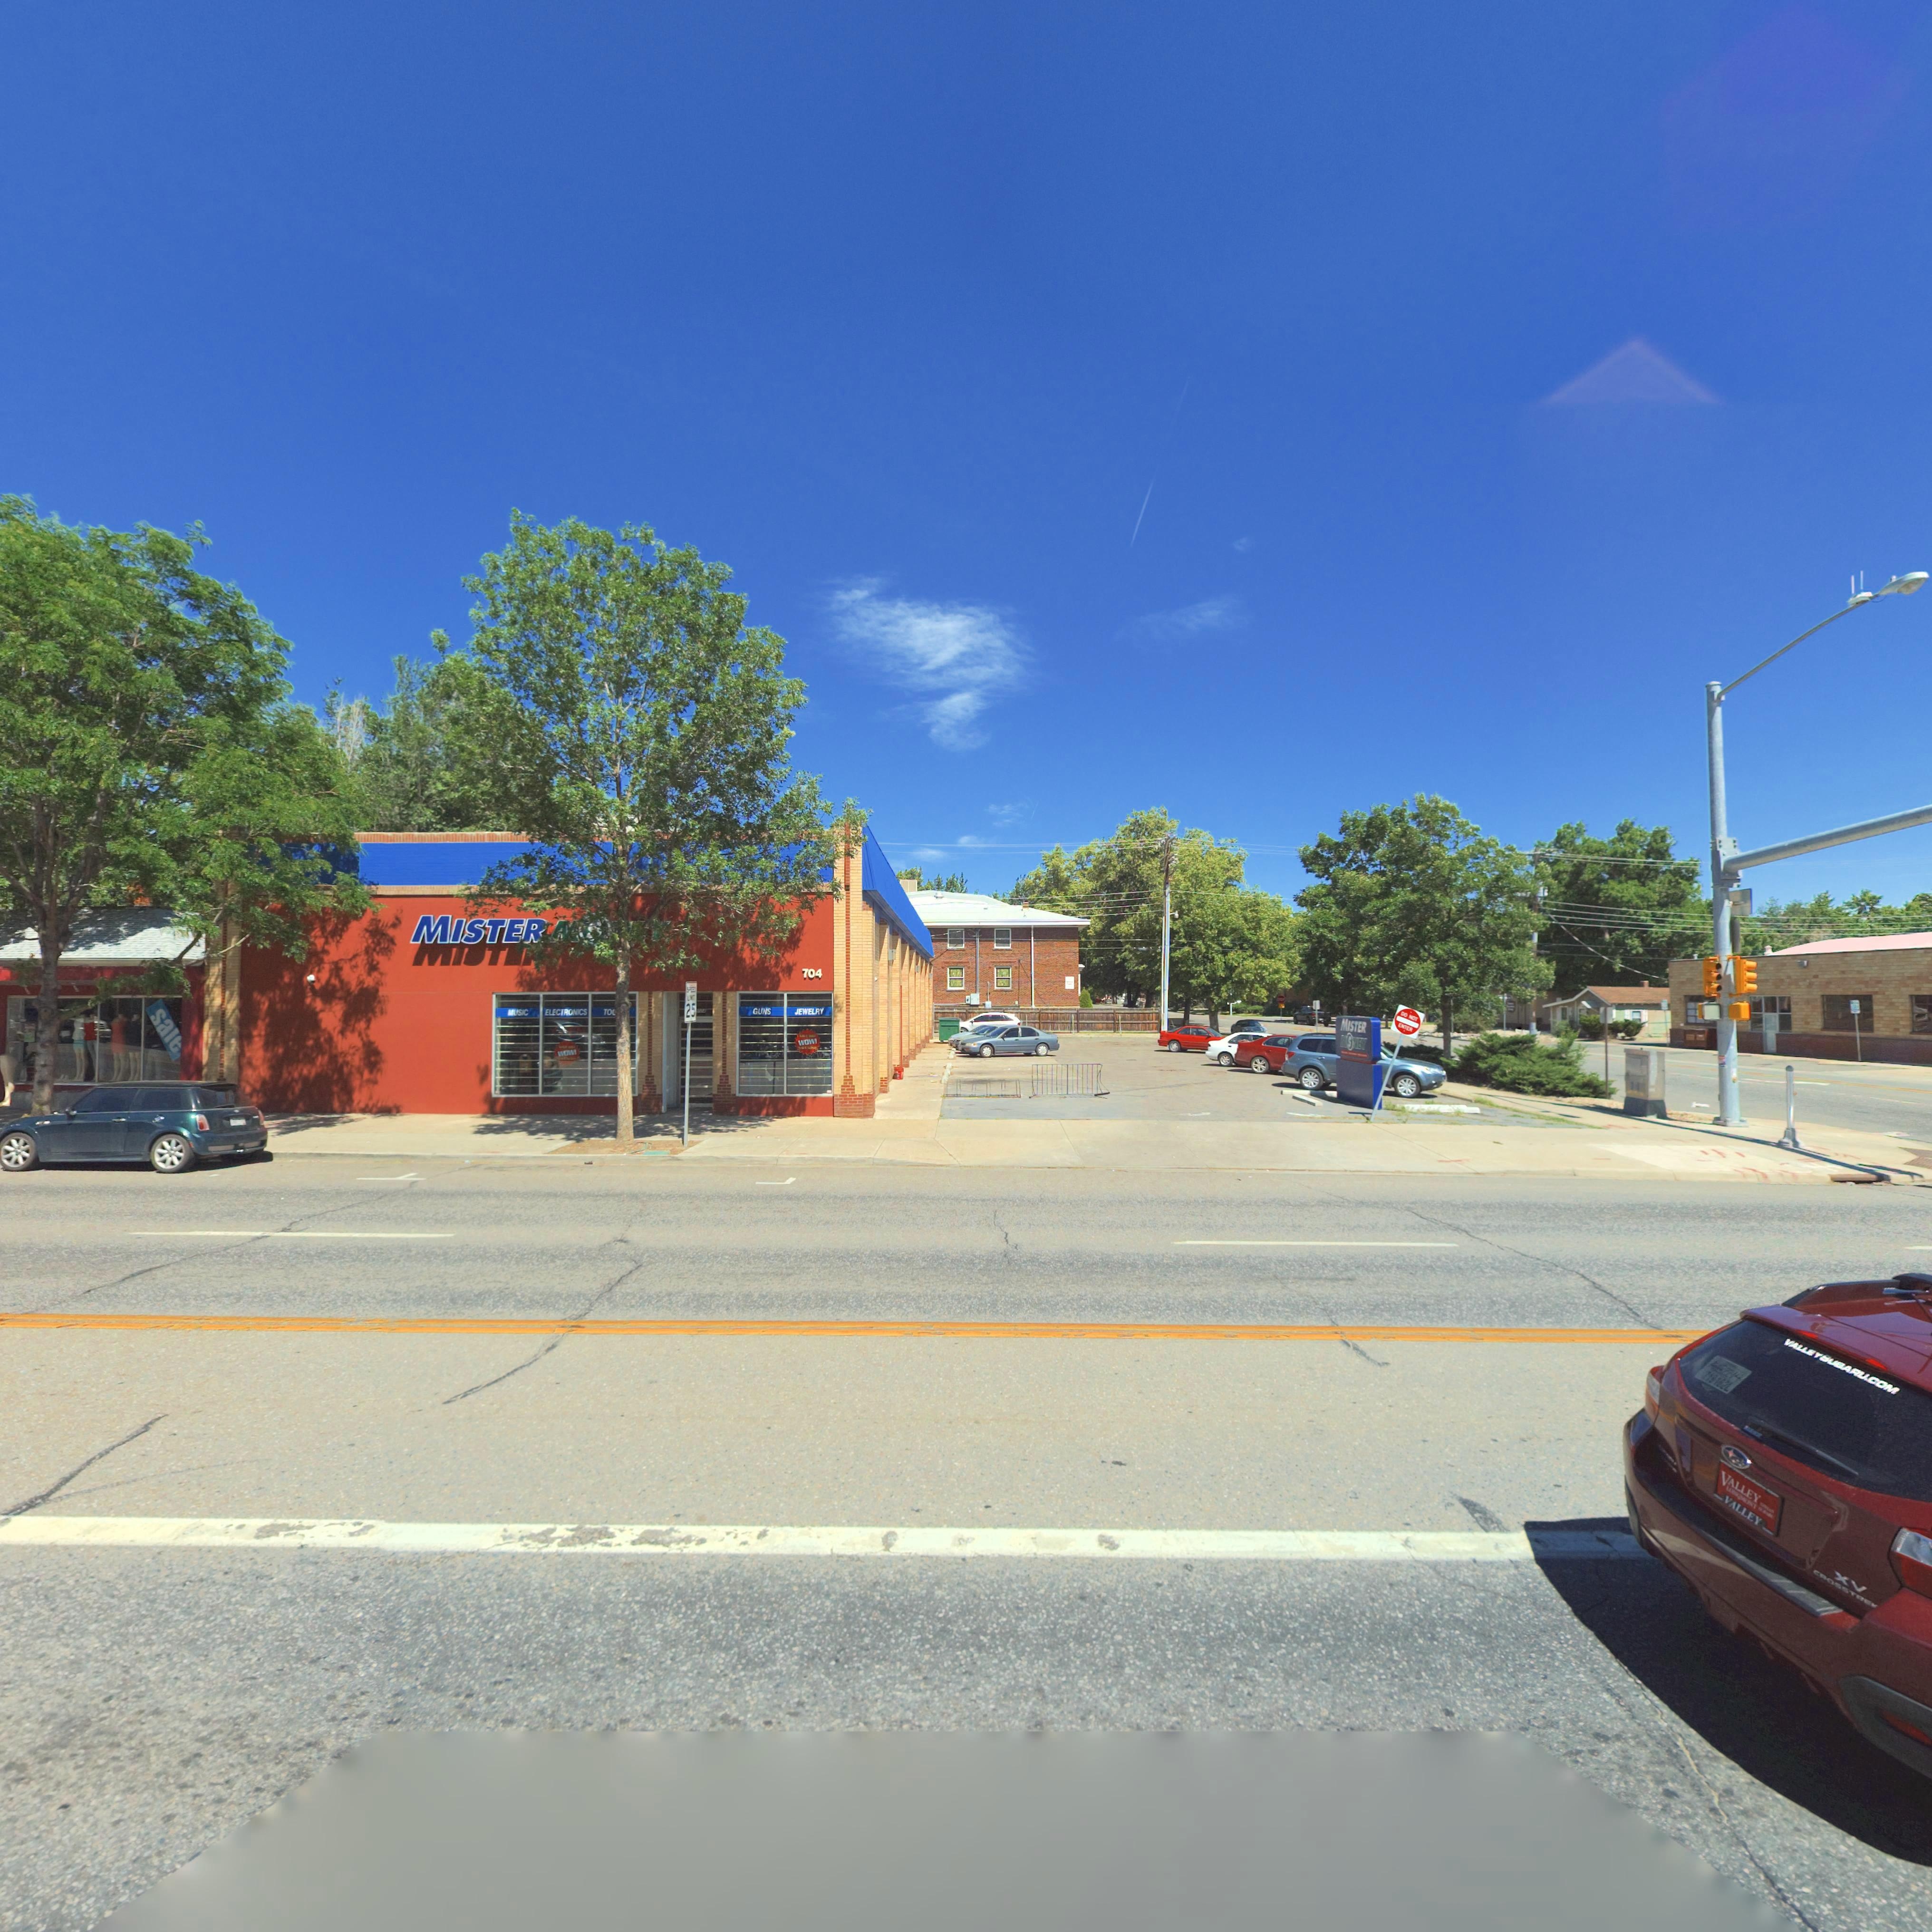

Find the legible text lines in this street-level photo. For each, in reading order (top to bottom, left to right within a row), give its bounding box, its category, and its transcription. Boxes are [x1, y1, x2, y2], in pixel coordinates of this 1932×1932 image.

[408, 914, 672, 944] BusinessName: MISTER *****
[802, 968, 823, 978] StreetNumber: 704
[696, 1008, 706, 1013] StreetNumber: *06
[1340, 1018, 1367, 1033] BusinessName: MISTER
[1340, 1034, 1367, 1050] BusinessName: **NEY